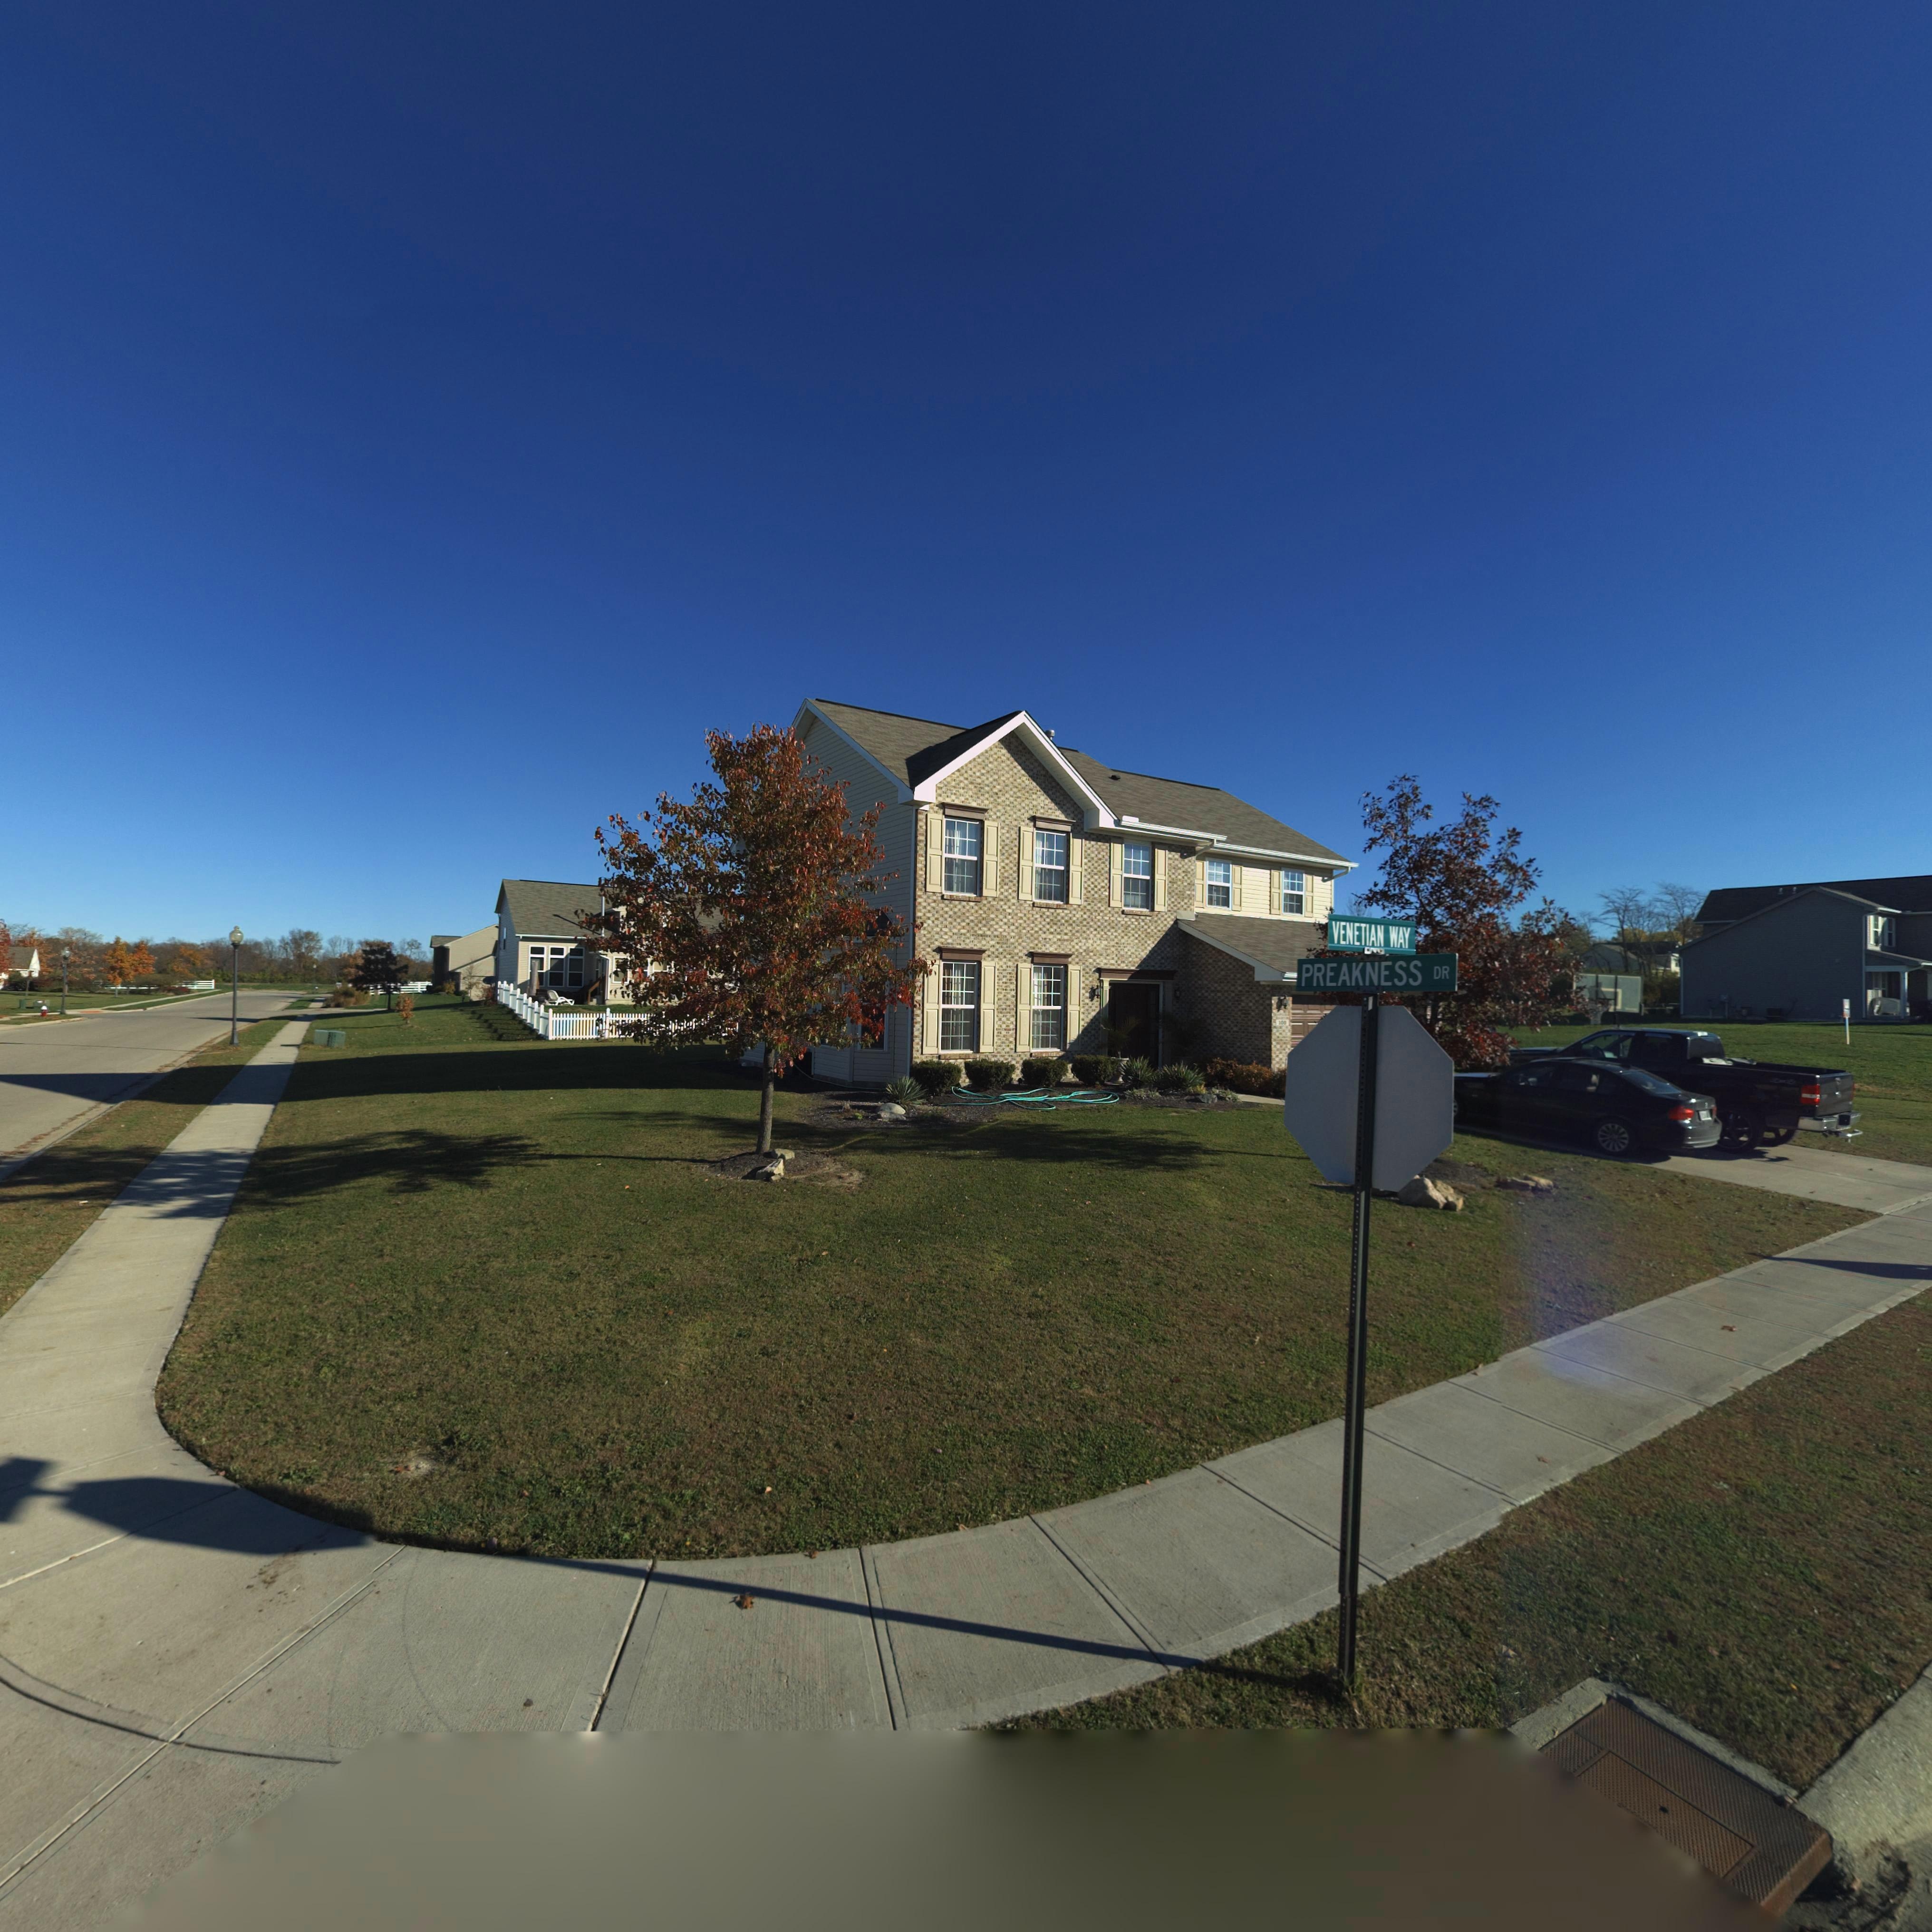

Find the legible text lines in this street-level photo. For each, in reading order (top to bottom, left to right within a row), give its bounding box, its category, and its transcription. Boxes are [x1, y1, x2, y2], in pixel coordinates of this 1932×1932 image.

[1329, 919, 1413, 951] StreetName: VENETIAN WAY
[1300, 958, 1450, 988] StreetName: PREAKNESS DR
[1278, 1020, 1287, 1025] StreetNumber: 100